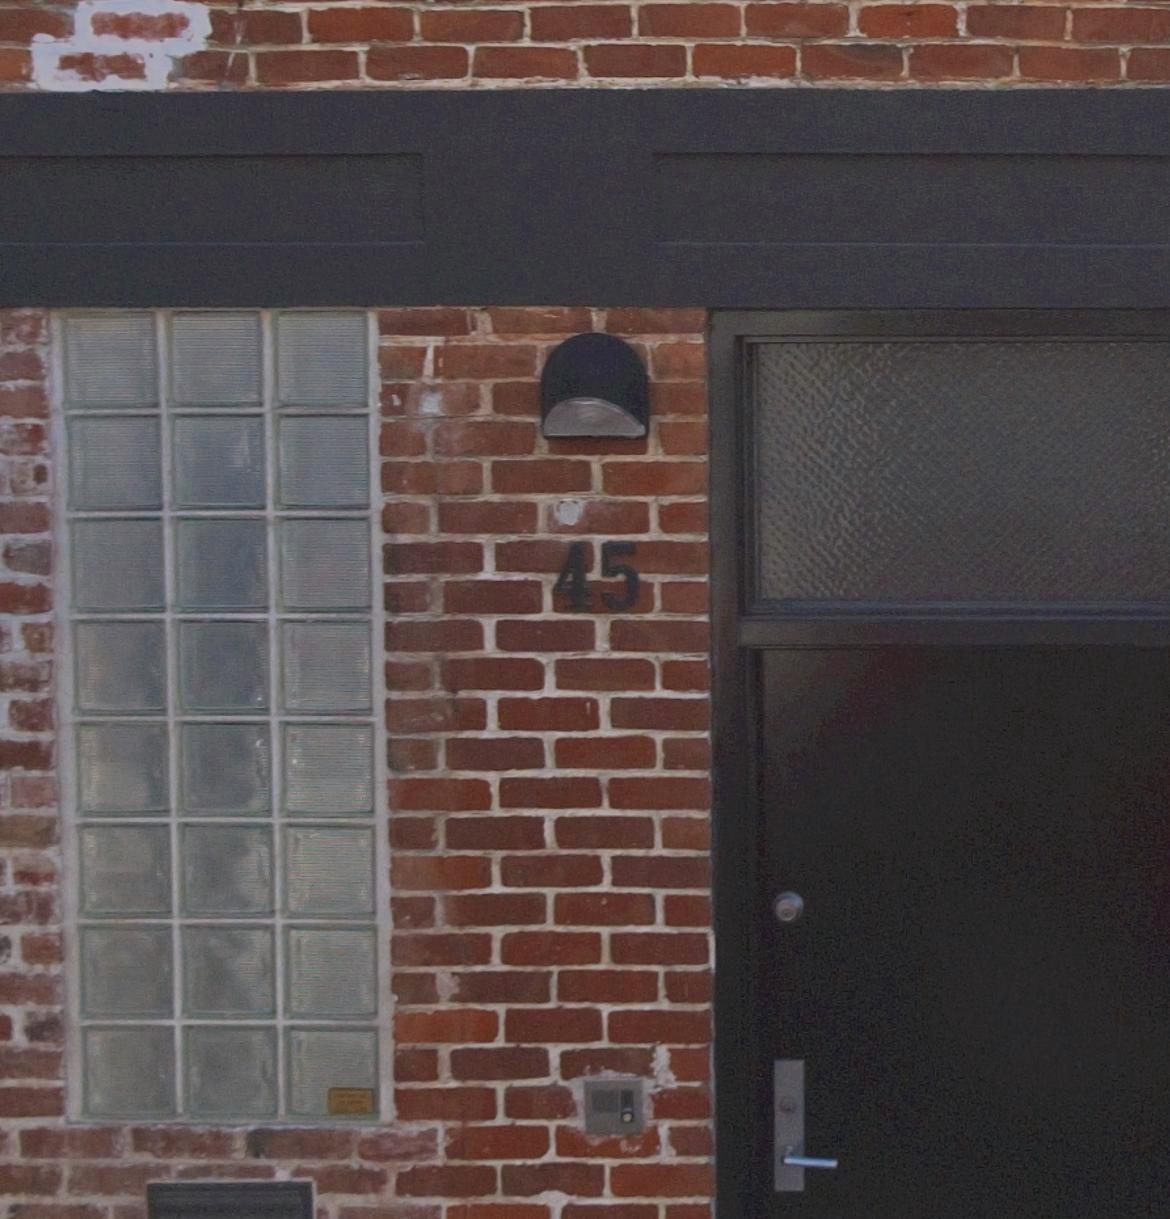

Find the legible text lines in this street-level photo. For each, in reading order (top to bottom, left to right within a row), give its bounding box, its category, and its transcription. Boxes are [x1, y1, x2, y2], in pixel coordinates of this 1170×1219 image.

[534, 537, 644, 616] StreetNumber: 45